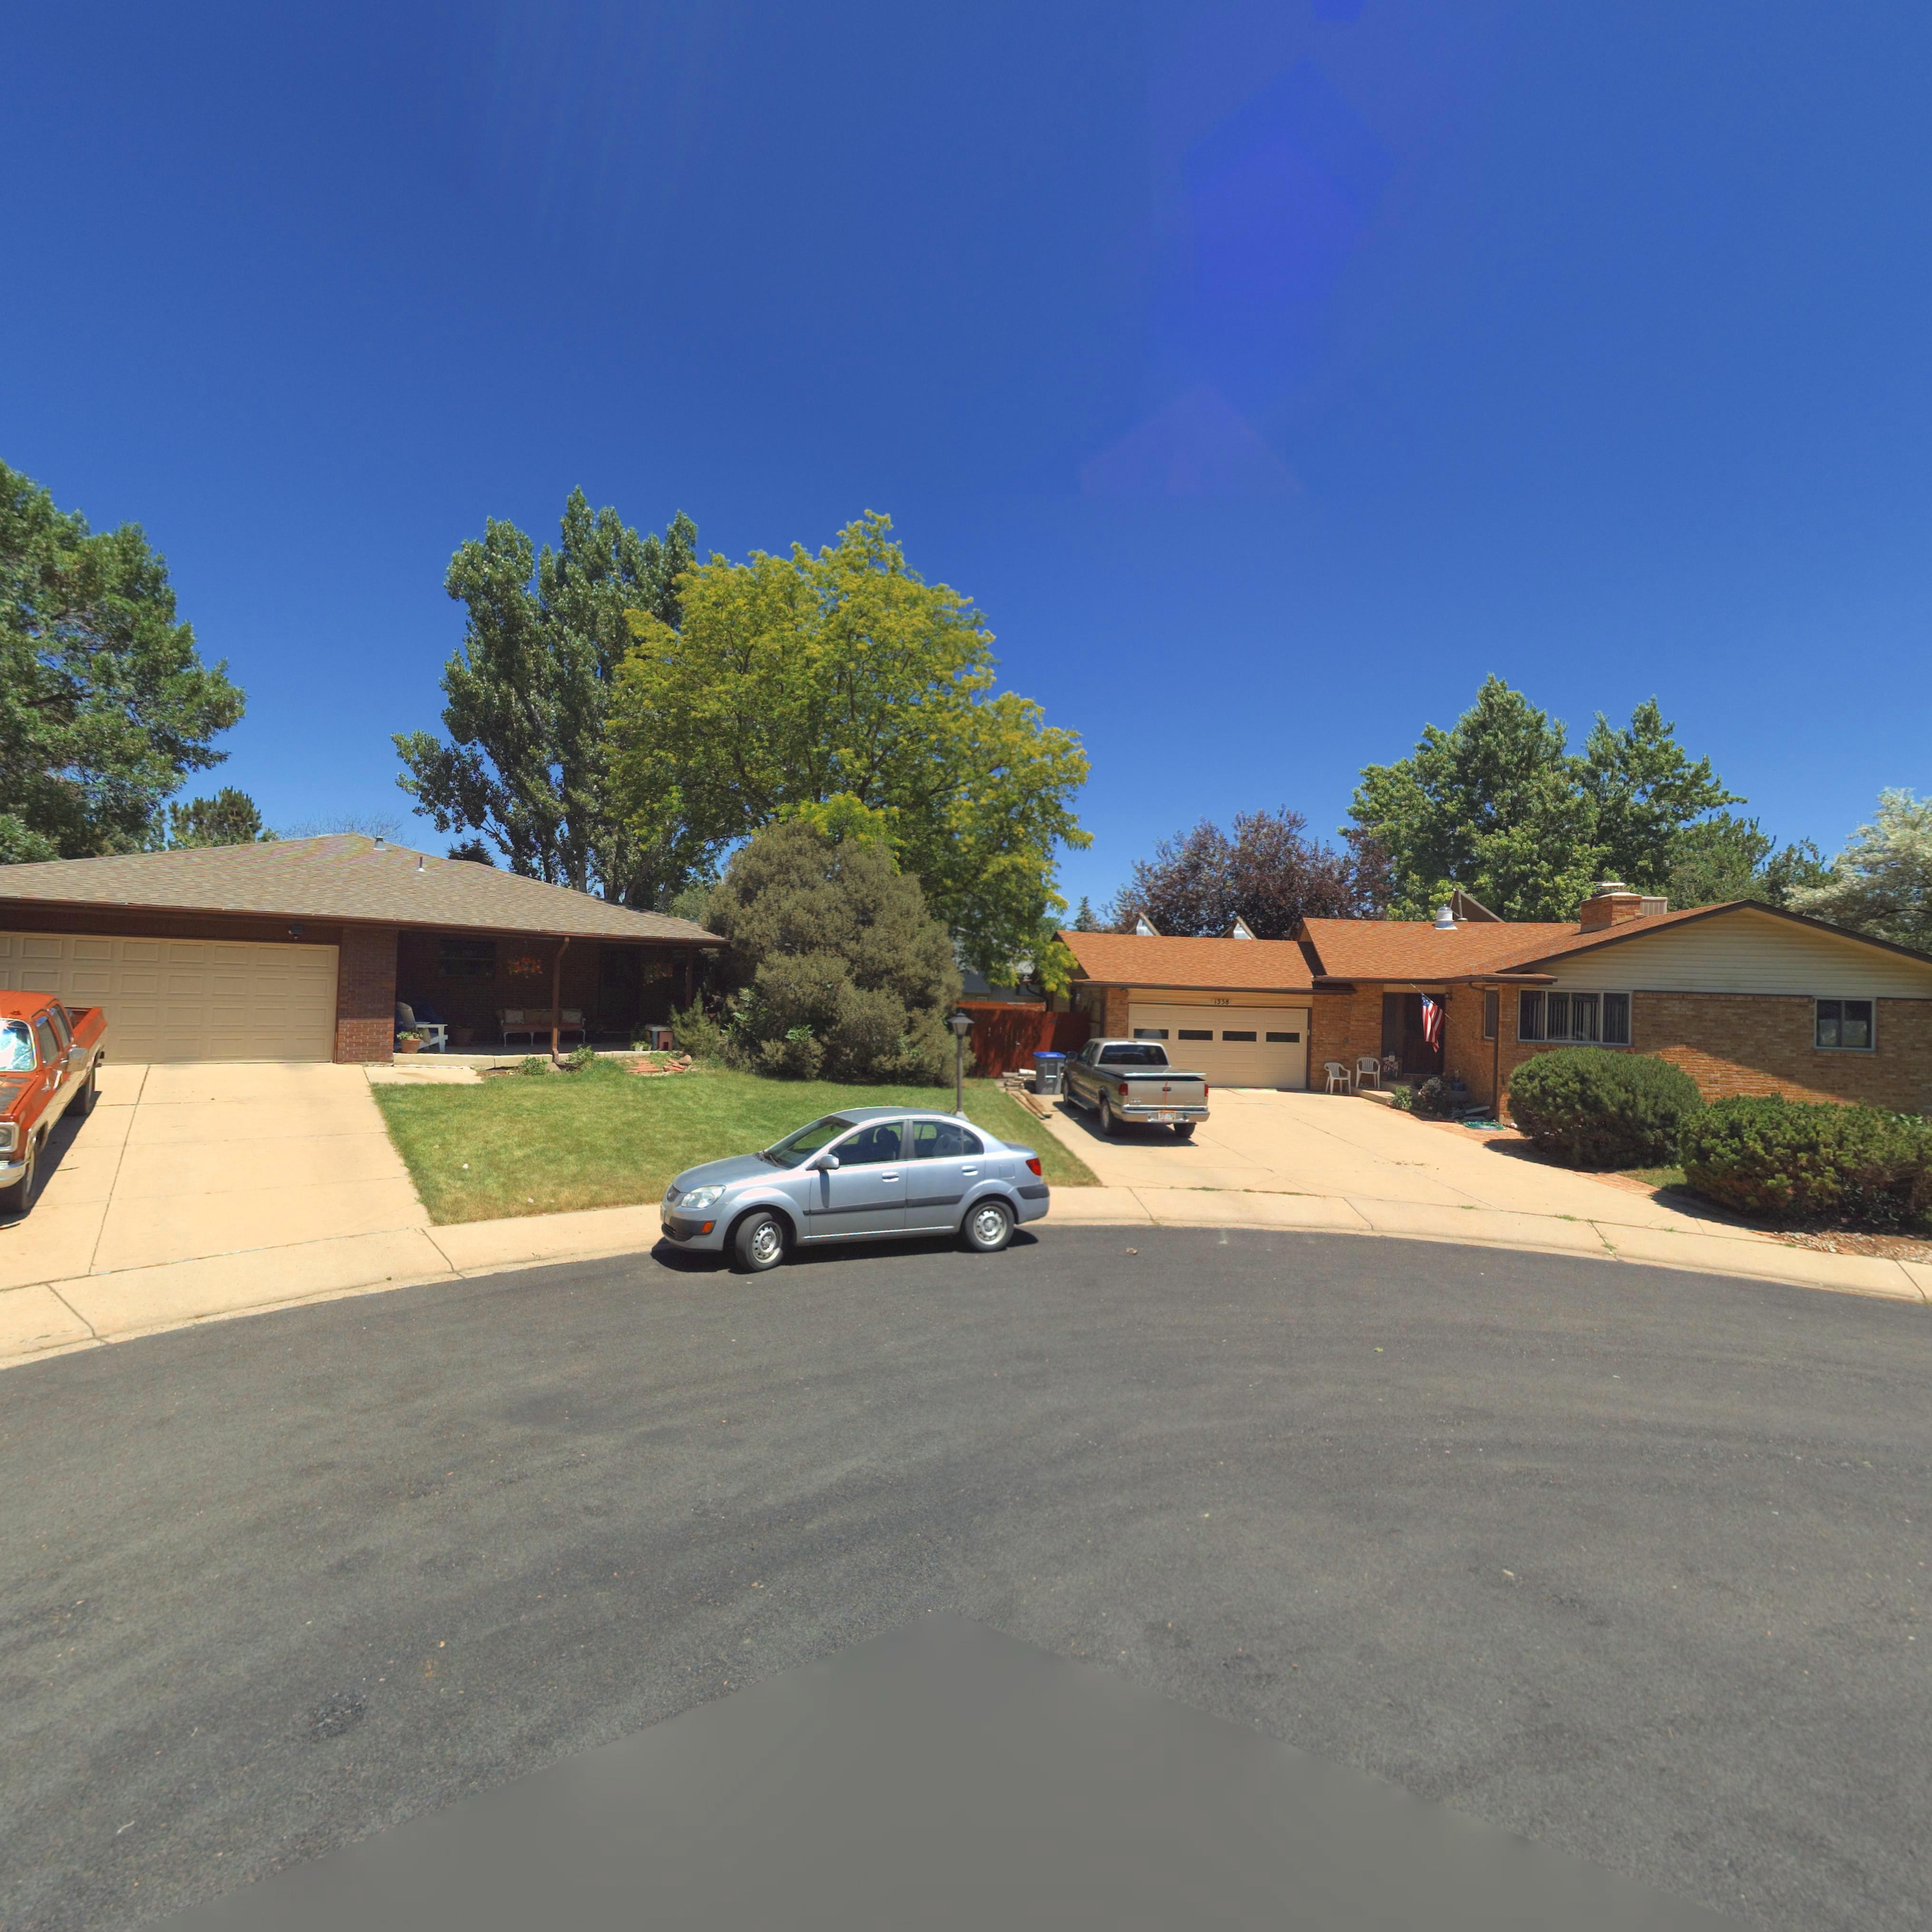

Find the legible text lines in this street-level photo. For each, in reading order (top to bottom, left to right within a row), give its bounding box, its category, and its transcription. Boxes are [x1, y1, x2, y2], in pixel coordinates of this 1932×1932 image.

[1214, 999, 1229, 1005] StreetNumber: 1338